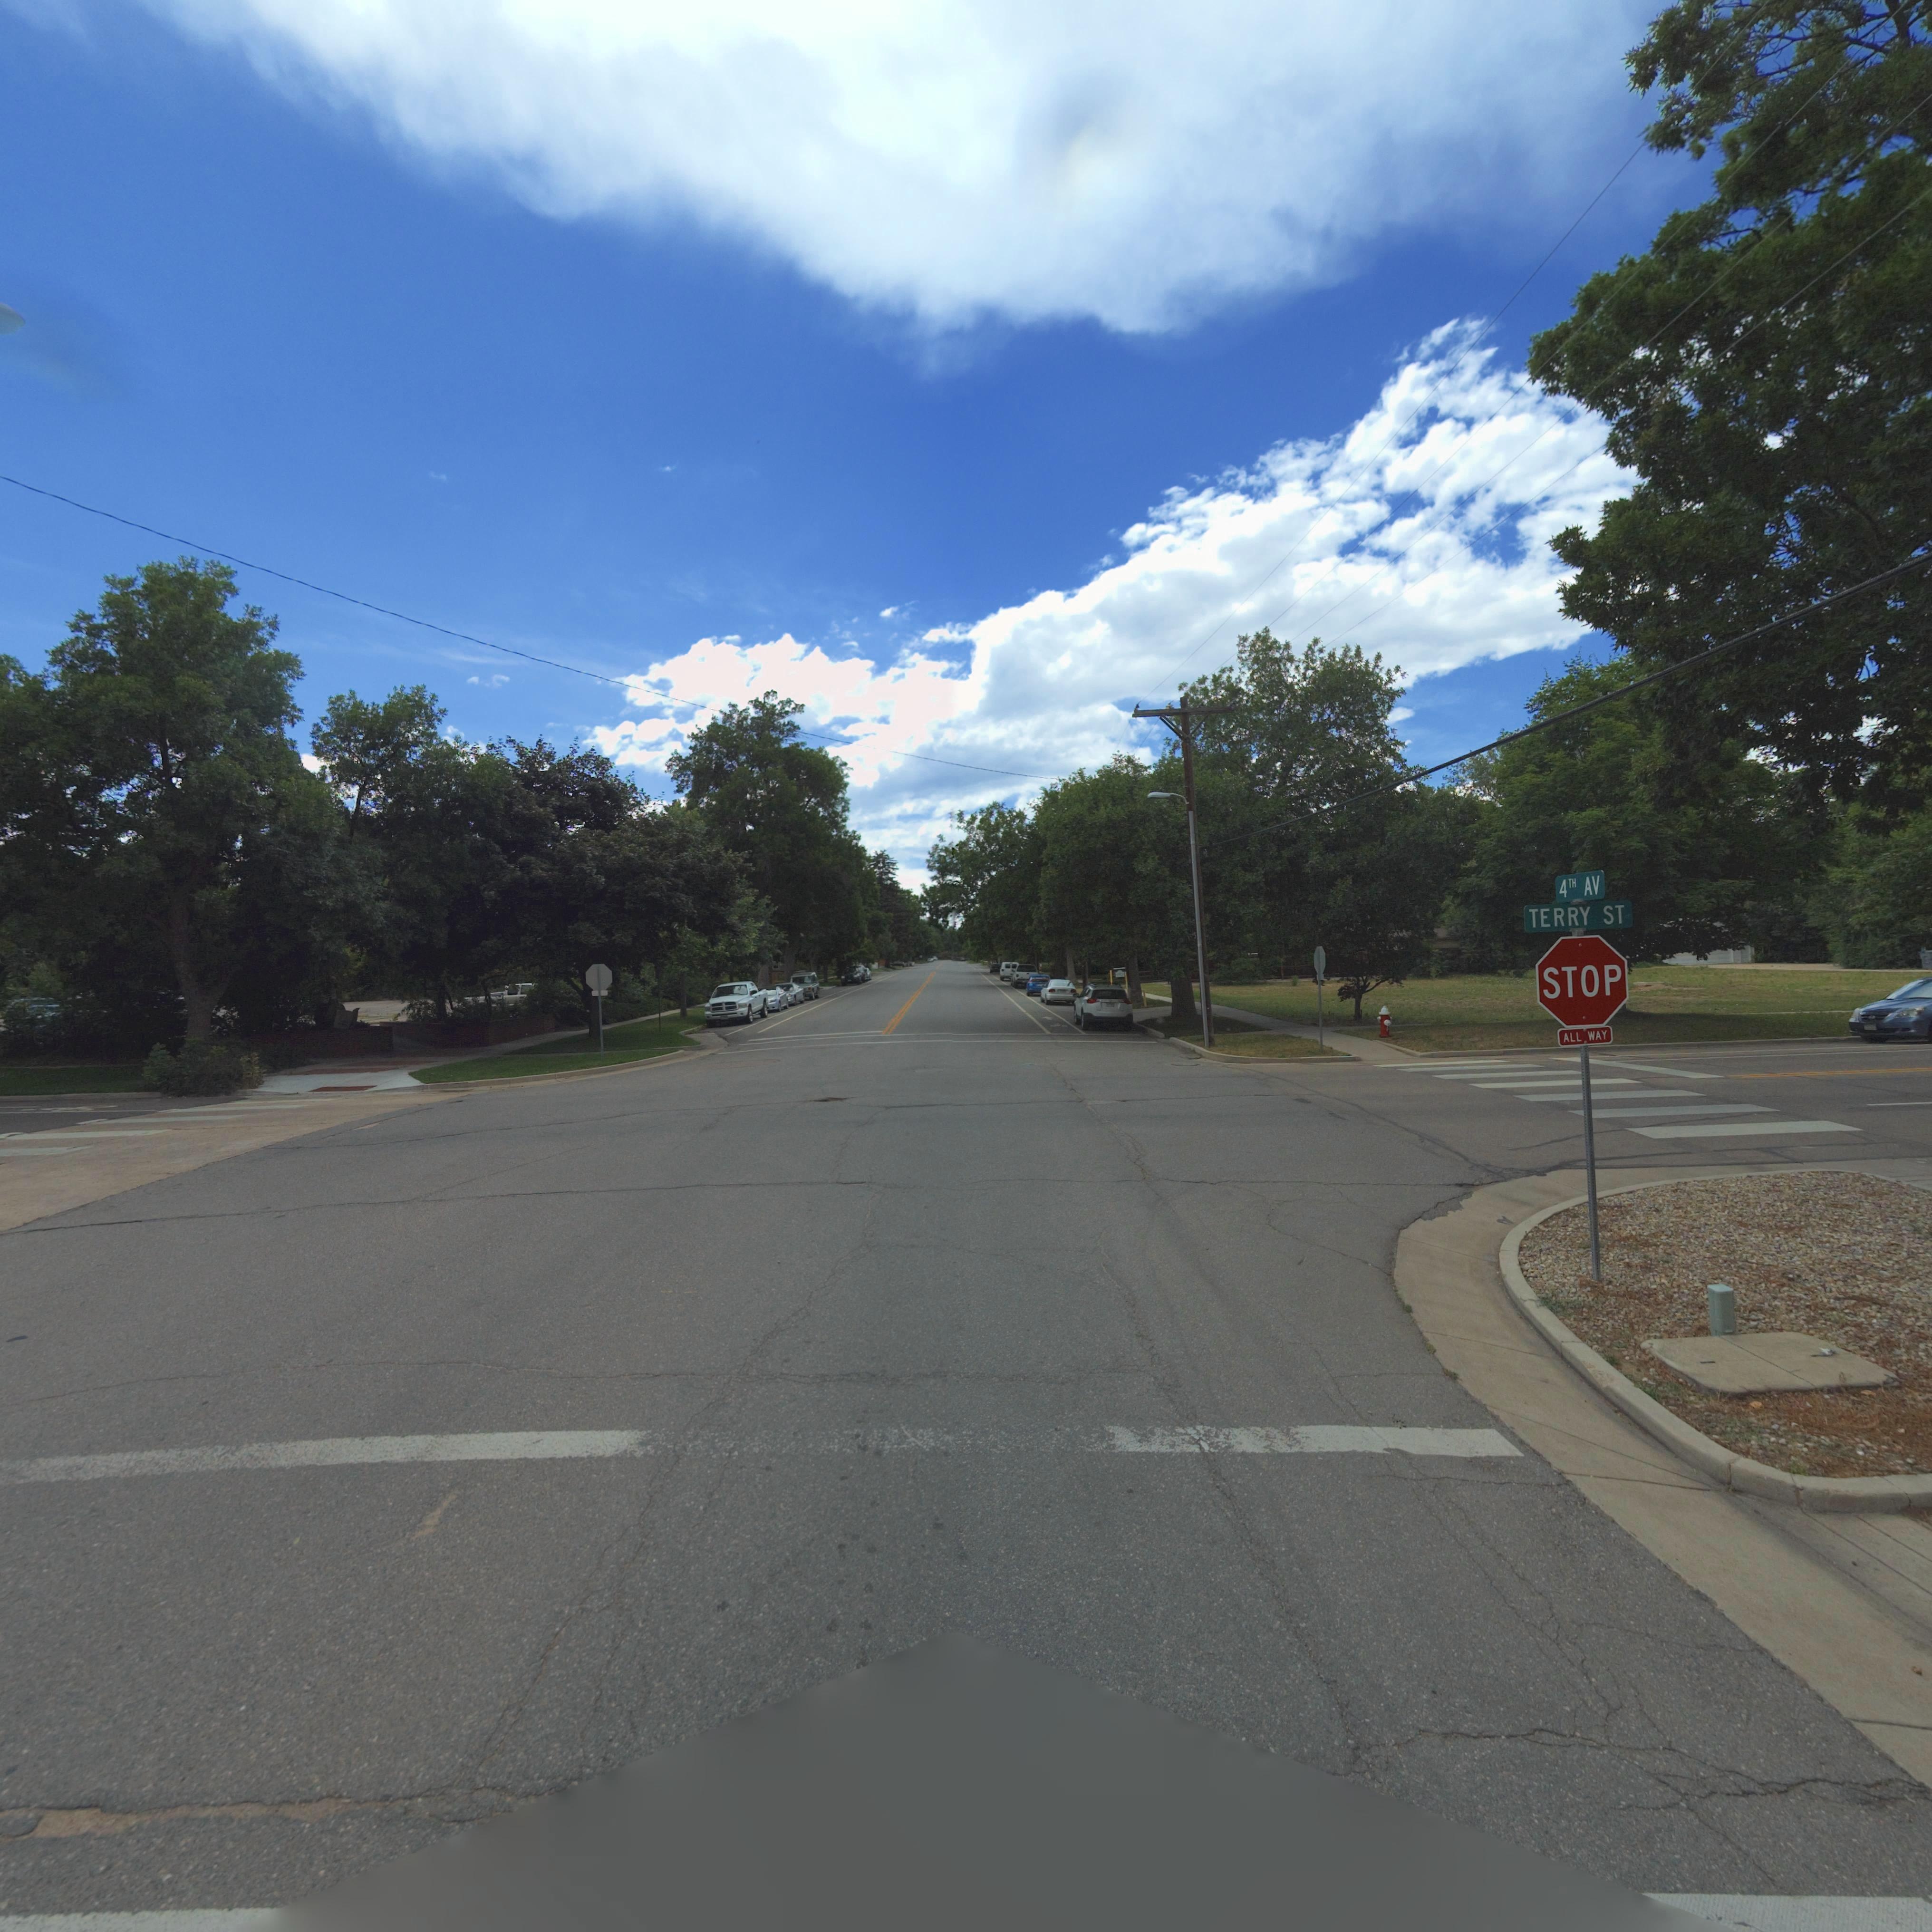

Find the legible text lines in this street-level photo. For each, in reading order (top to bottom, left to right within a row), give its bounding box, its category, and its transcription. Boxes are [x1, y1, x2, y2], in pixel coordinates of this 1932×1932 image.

[1559, 875, 1600, 897] StreetName: 4 TH AV
[1528, 904, 1625, 927] StreetName: TERRY ST